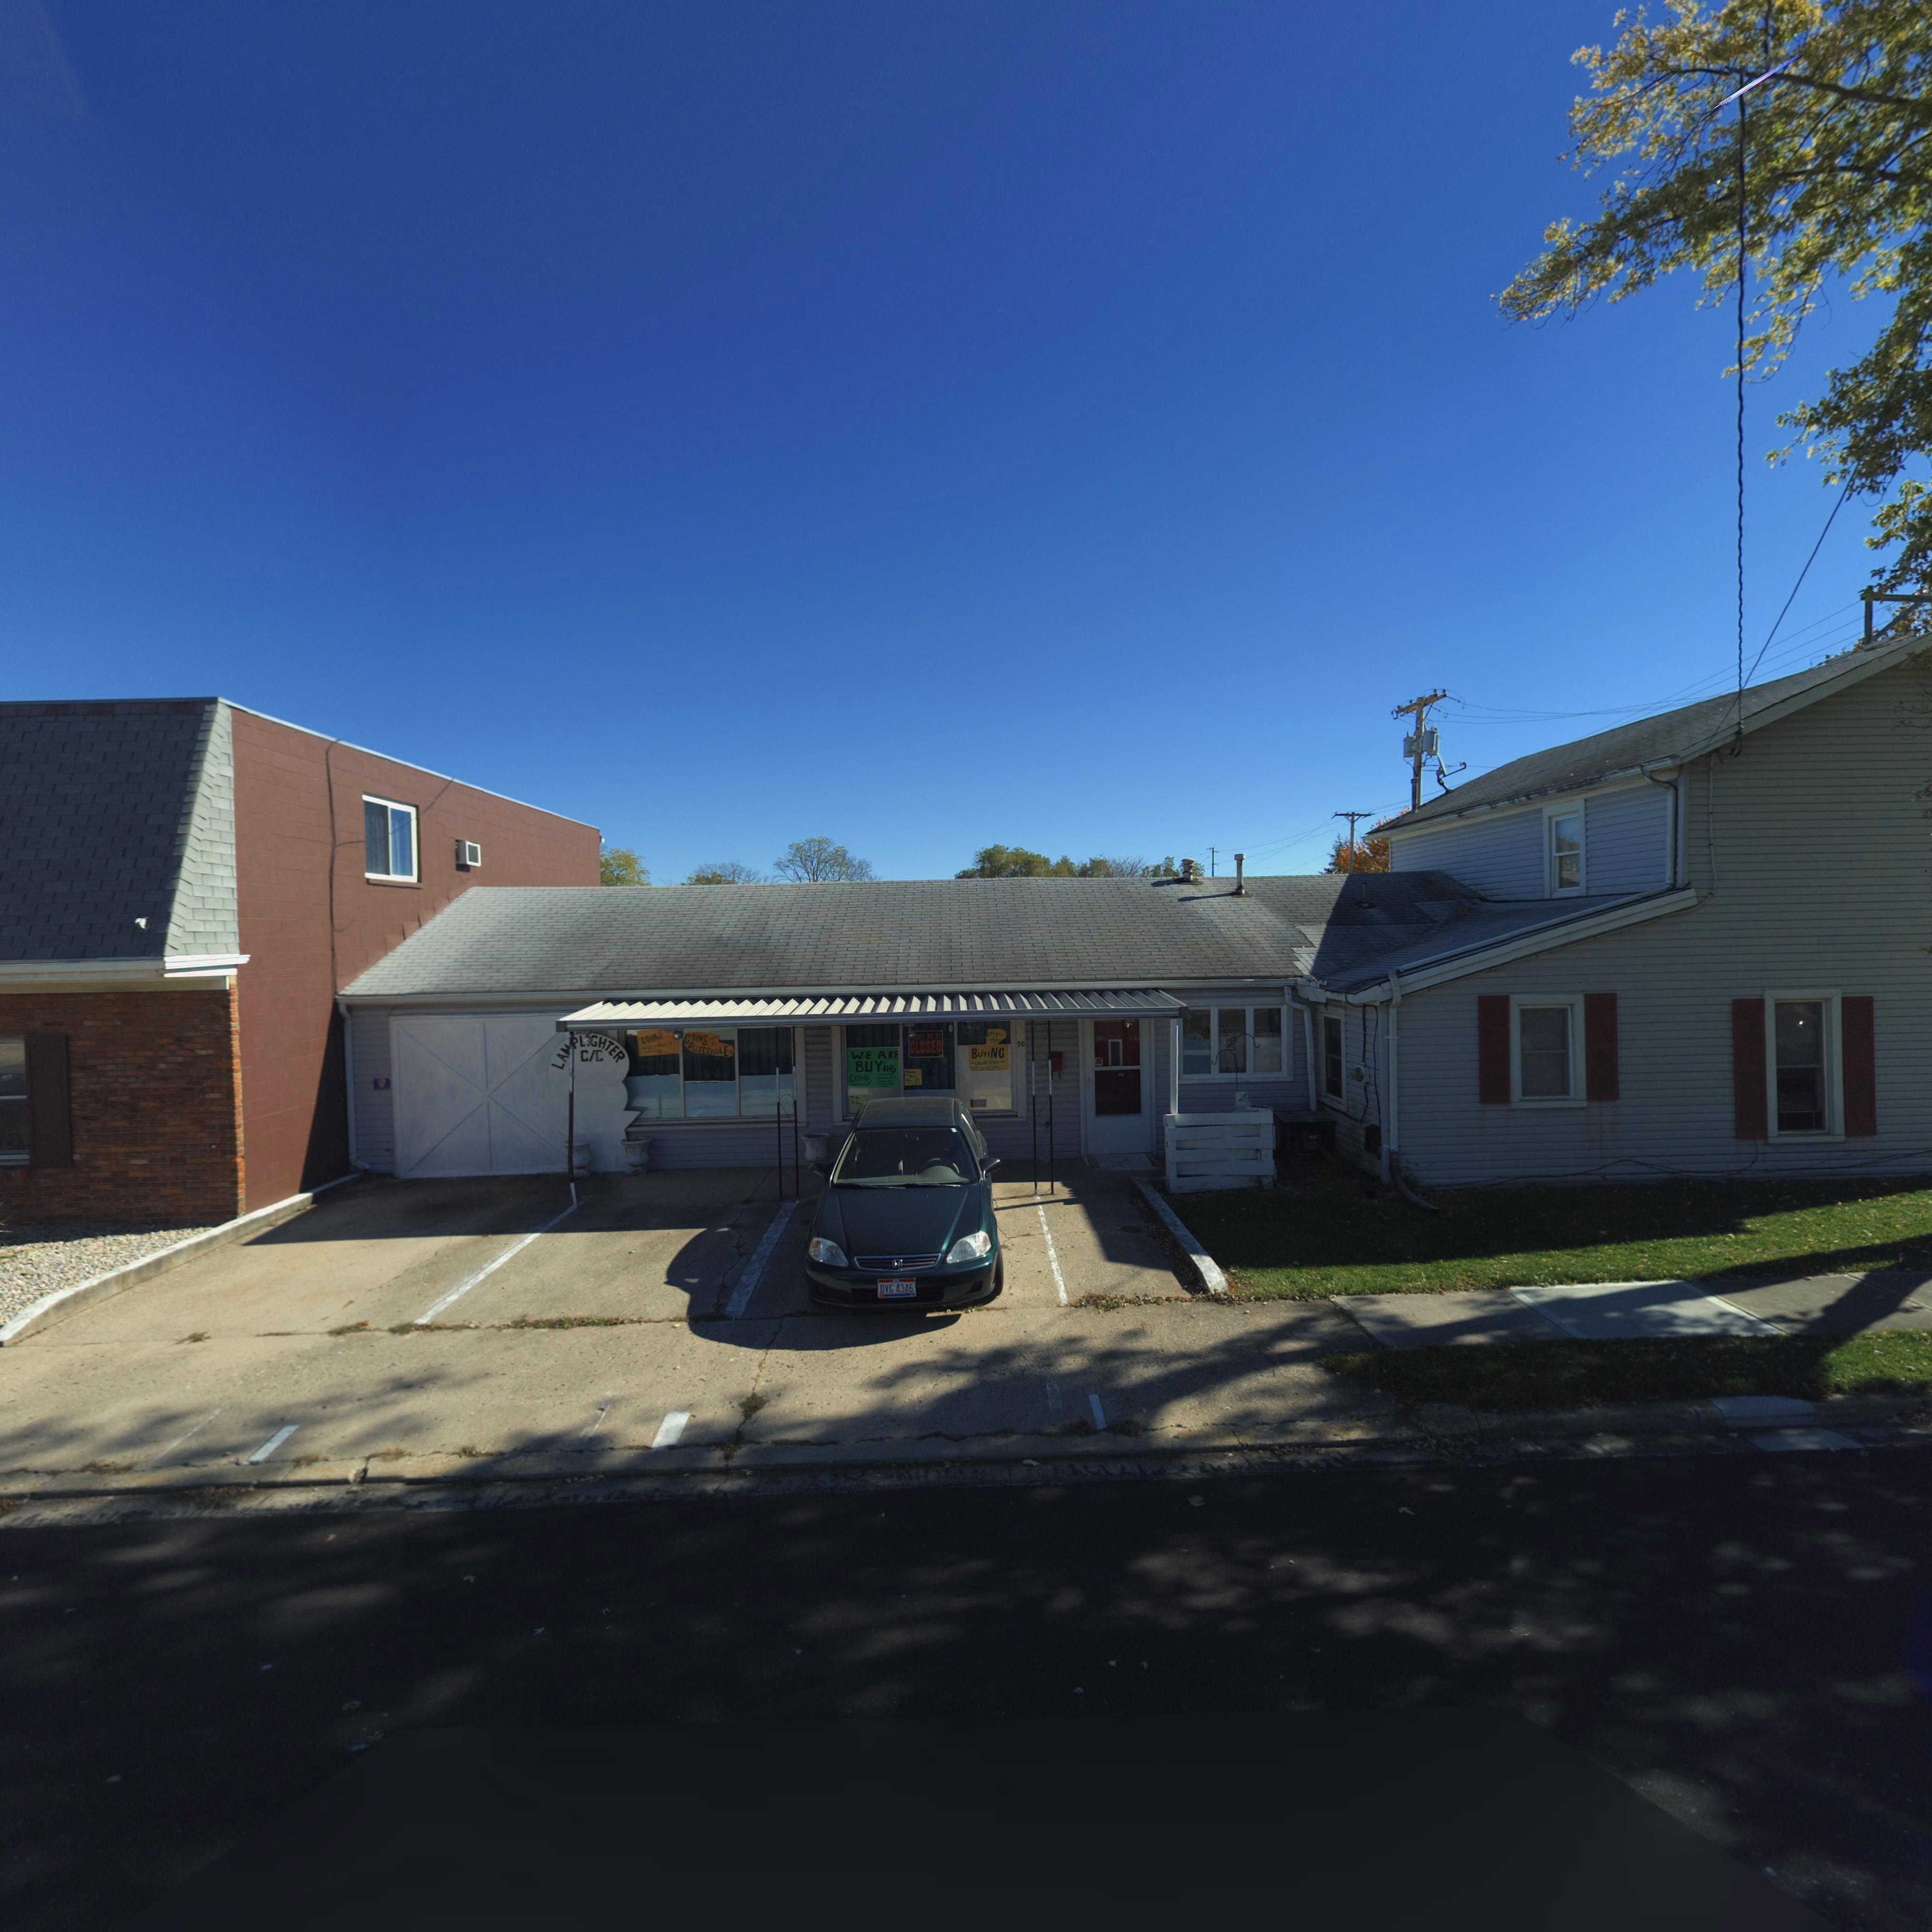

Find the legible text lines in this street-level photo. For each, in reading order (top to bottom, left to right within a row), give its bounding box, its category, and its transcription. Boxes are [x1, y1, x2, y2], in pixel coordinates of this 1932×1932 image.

[550, 1034, 627, 1071] None: LA**L**HTER
[580, 1049, 604, 1063] None: C/C
[640, 1032, 659, 1045] None: COIN
[690, 1032, 708, 1047] None: OINS
[683, 1033, 735, 1058] None: COLLECTABLES
[850, 1050, 899, 1060] None: WE ARE
[908, 1039, 943, 1054] None: CLOSED
[970, 1047, 1006, 1060] None: BUYING
[1017, 1041, 1025, 1047] StreetNumber: 20
[854, 1060, 897, 1073] None: BUYiNG
[849, 1073, 869, 1083] None: COiNS